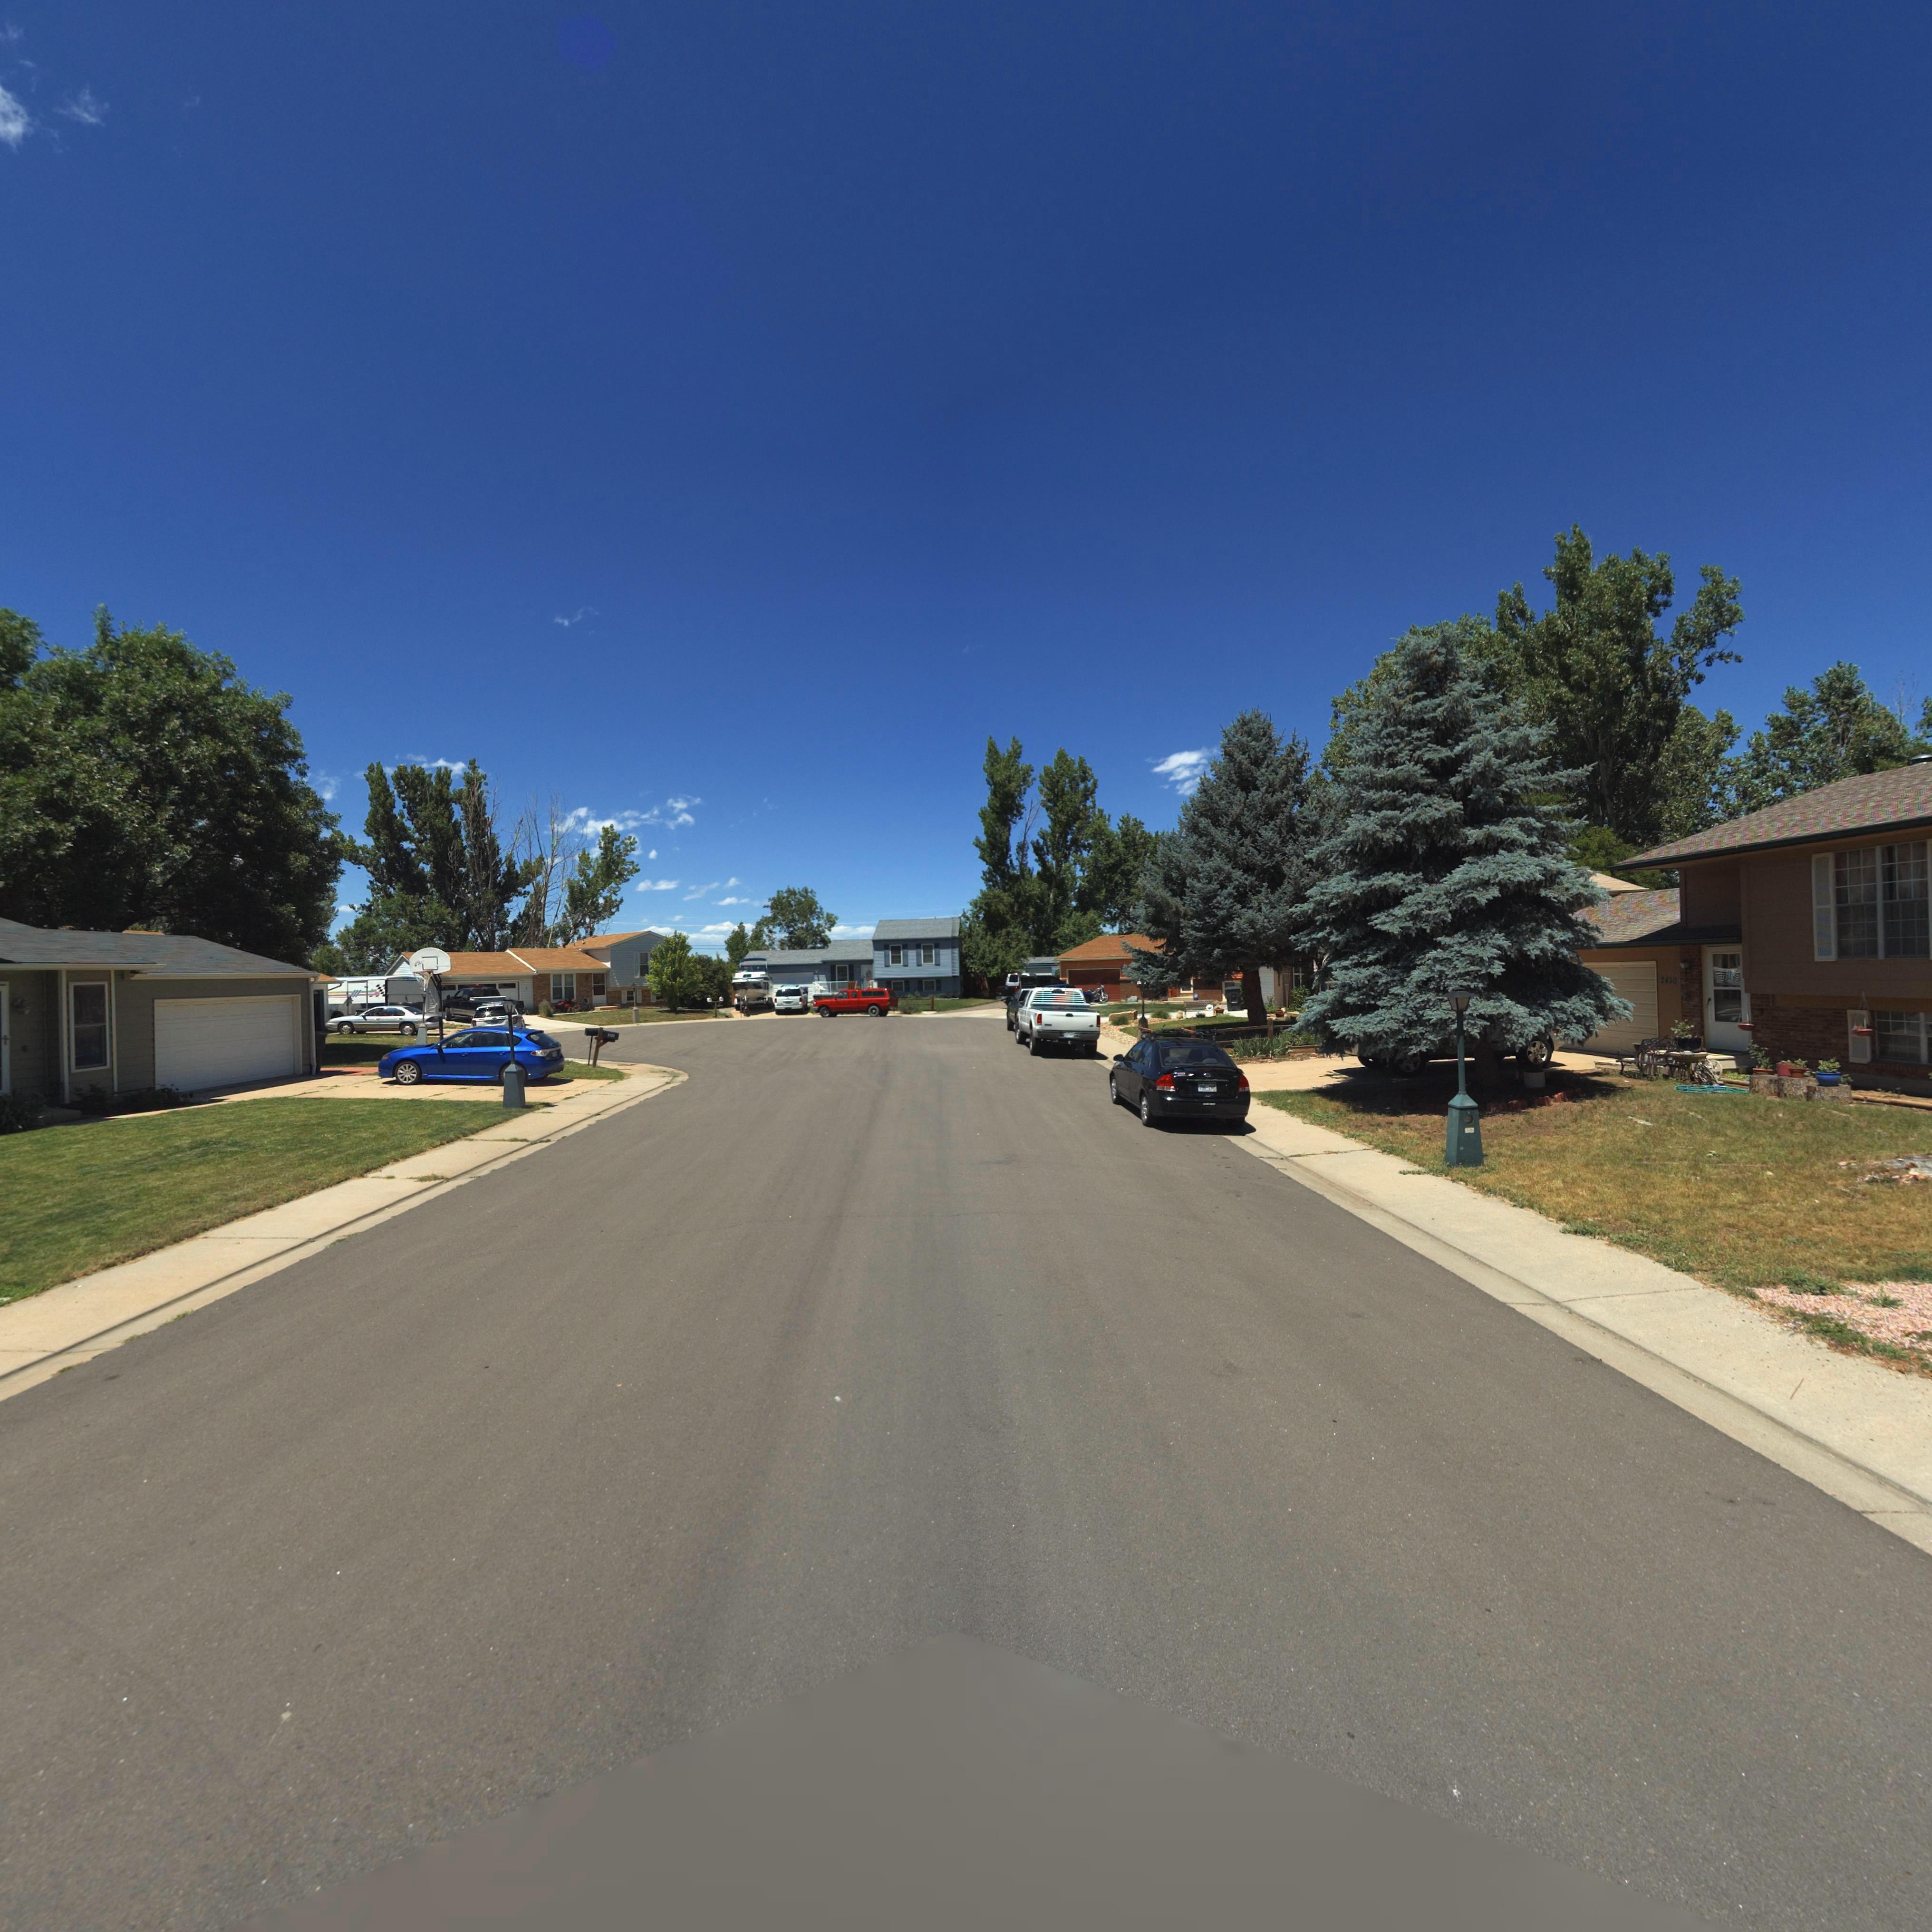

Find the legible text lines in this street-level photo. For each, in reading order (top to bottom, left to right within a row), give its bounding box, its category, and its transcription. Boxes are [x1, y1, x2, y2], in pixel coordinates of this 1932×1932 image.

[1660, 976, 1677, 984] StreetNumber: 2430
[607, 1033, 615, 1037] StreetNumber: 2***